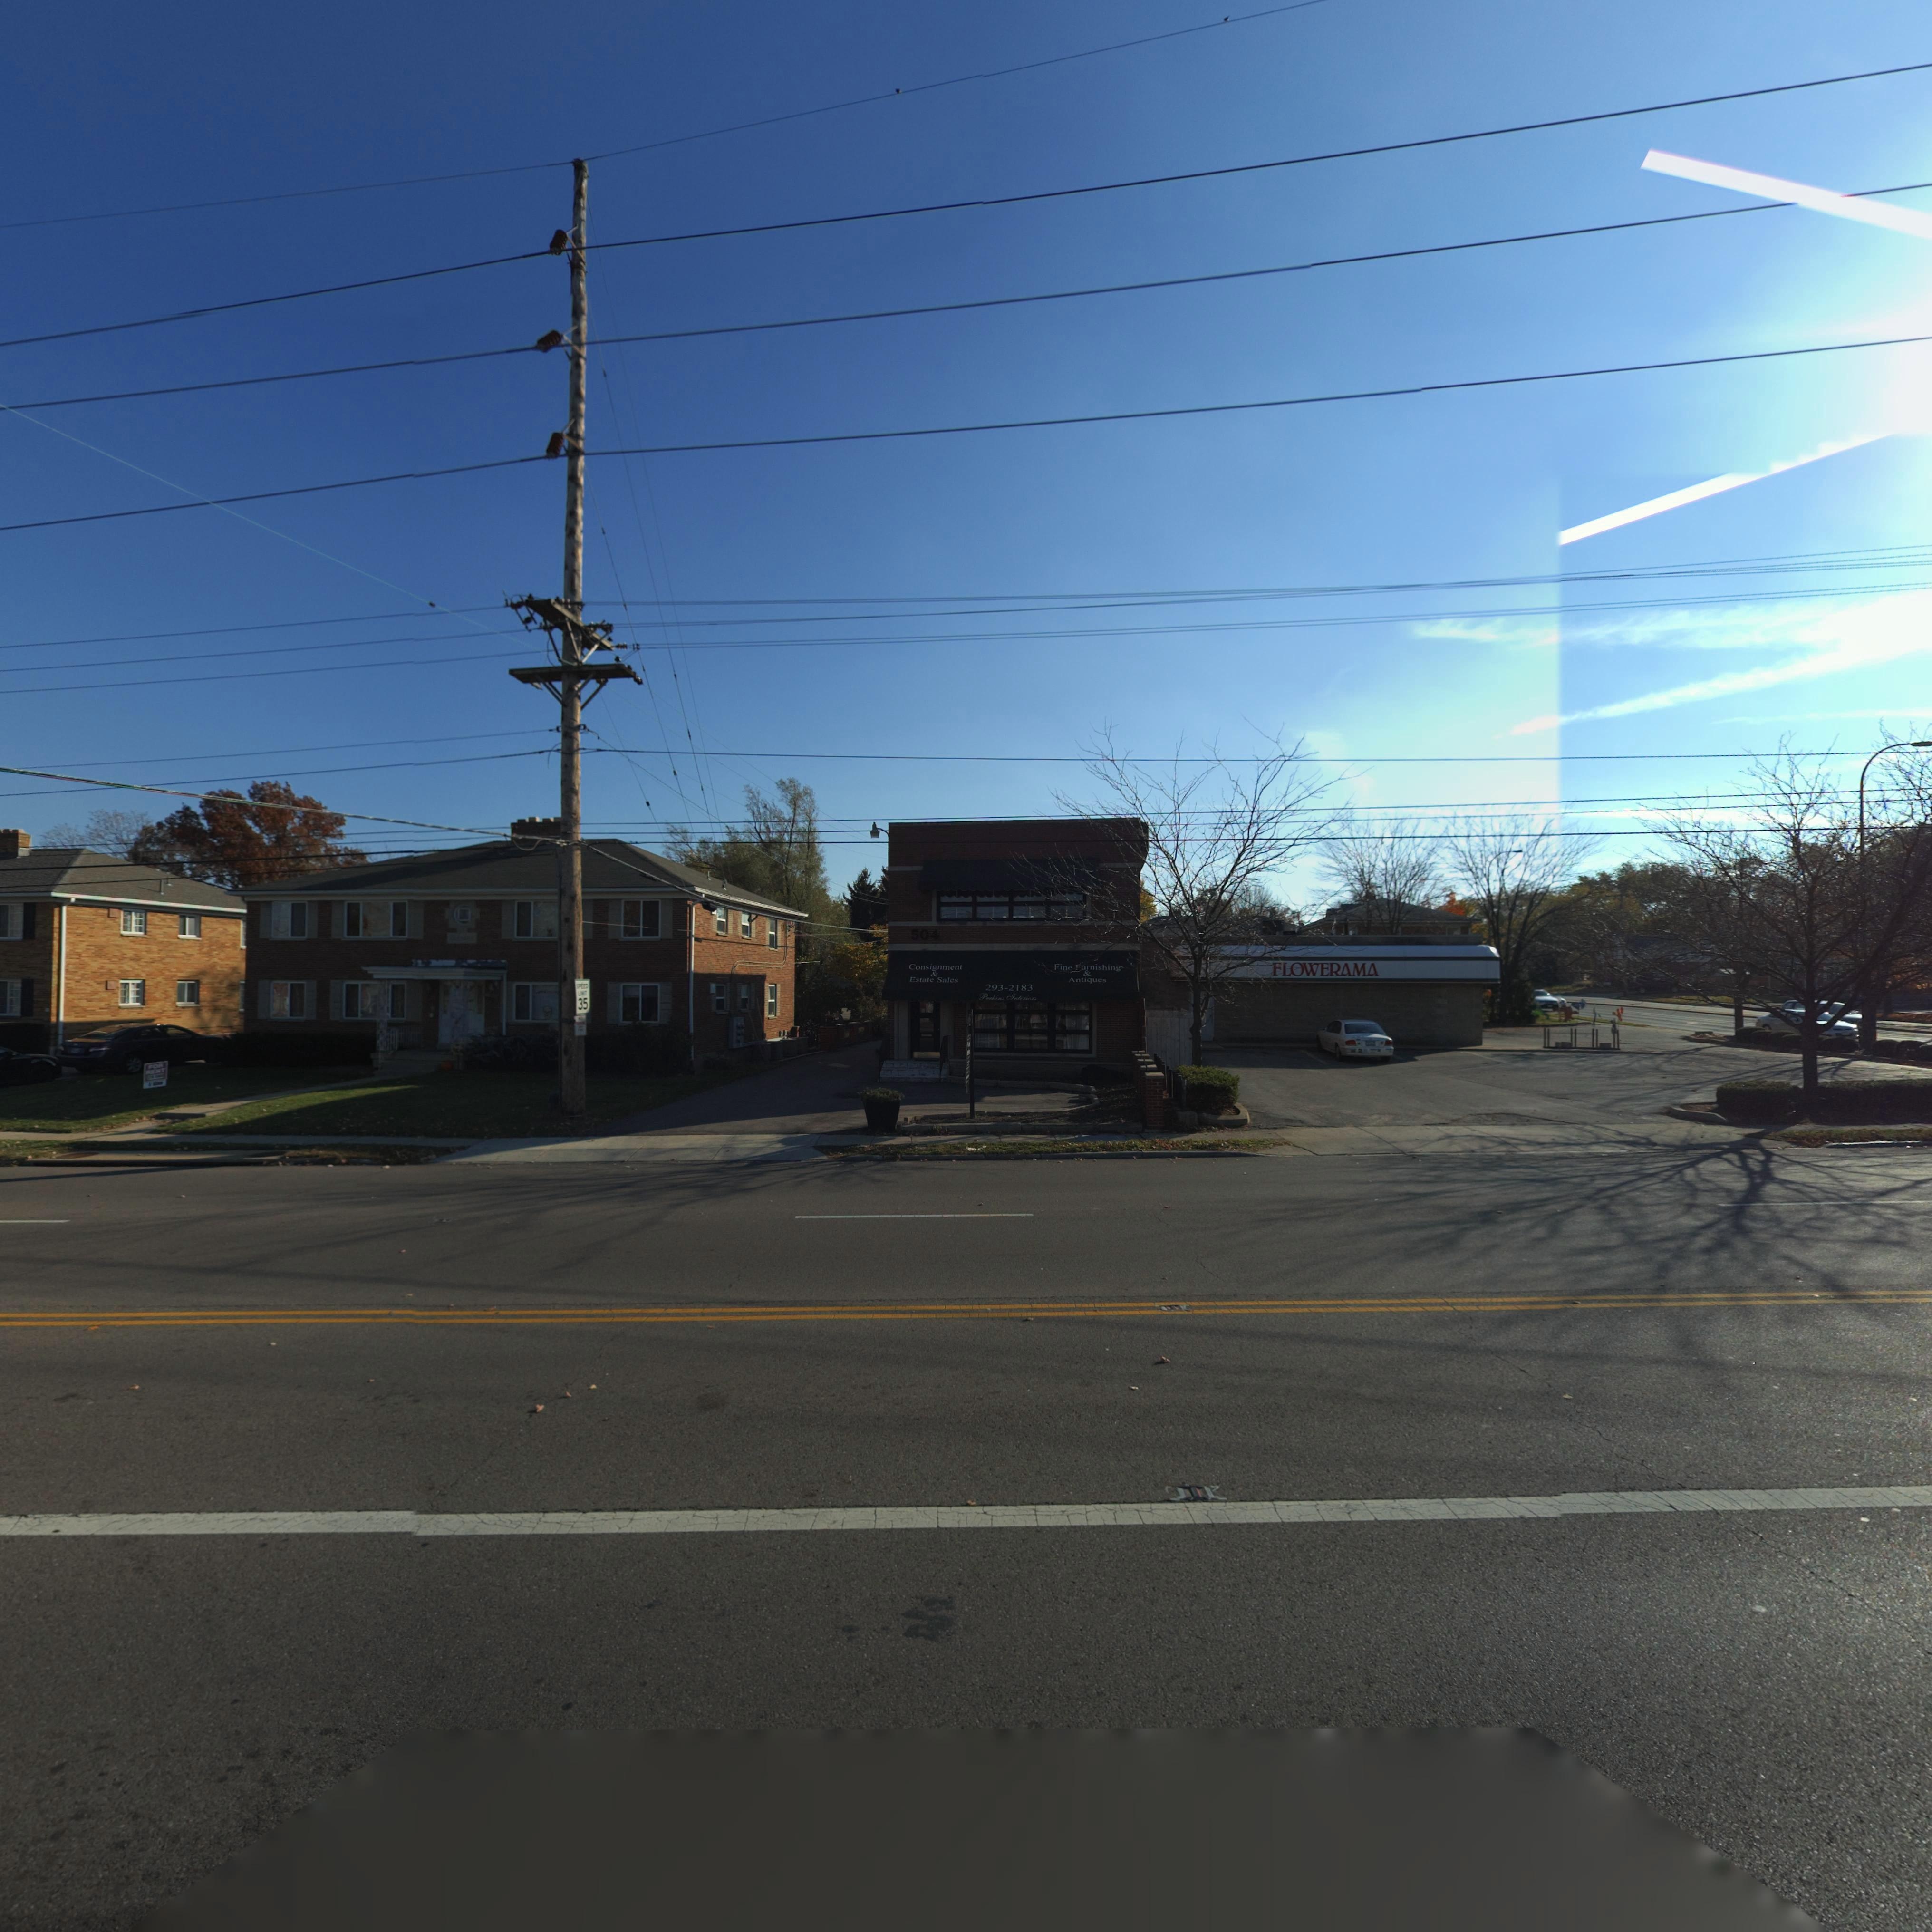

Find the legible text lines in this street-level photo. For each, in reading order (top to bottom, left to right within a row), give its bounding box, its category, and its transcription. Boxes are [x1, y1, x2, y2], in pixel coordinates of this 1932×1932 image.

[910, 929, 941, 940] StreetNumber: 504
[1271, 961, 1380, 977] BusinessName: FLOWERAMA
[979, 992, 1037, 1002] BusinessName: Perkins Interior